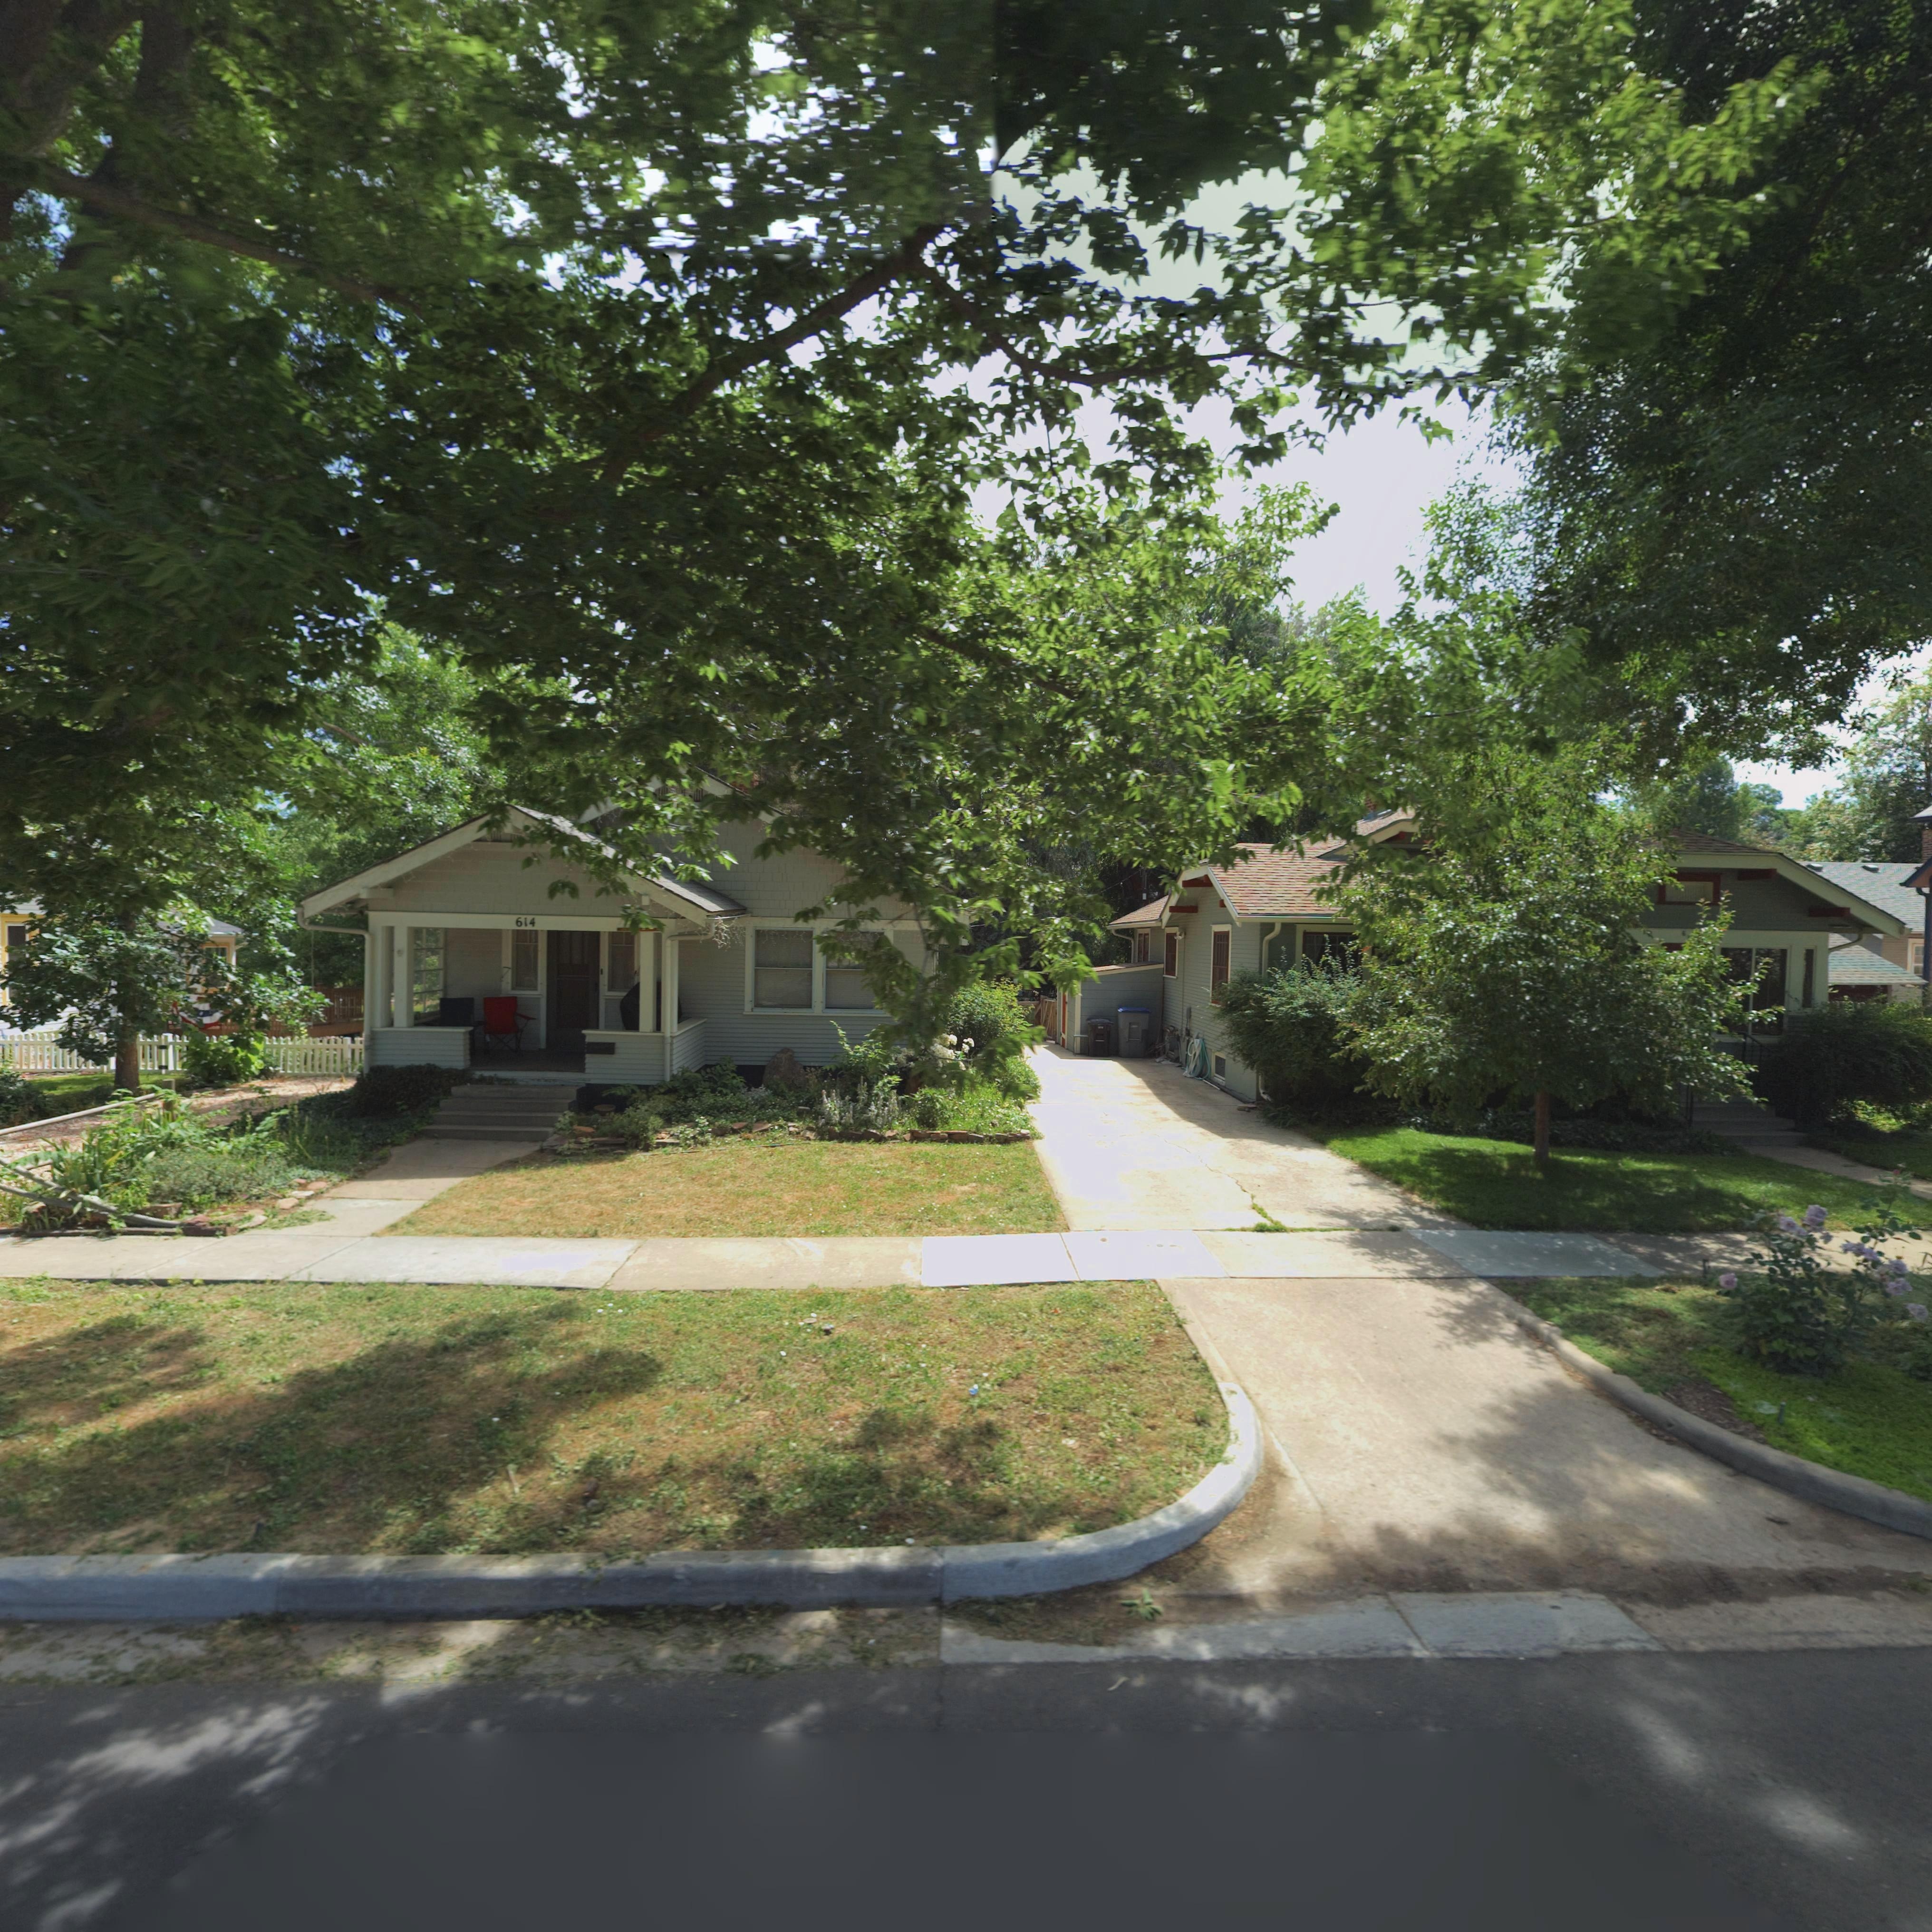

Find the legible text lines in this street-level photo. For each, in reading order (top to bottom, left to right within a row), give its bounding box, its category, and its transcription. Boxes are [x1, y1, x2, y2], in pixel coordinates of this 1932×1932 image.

[515, 916, 536, 927] StreetNumber: 614